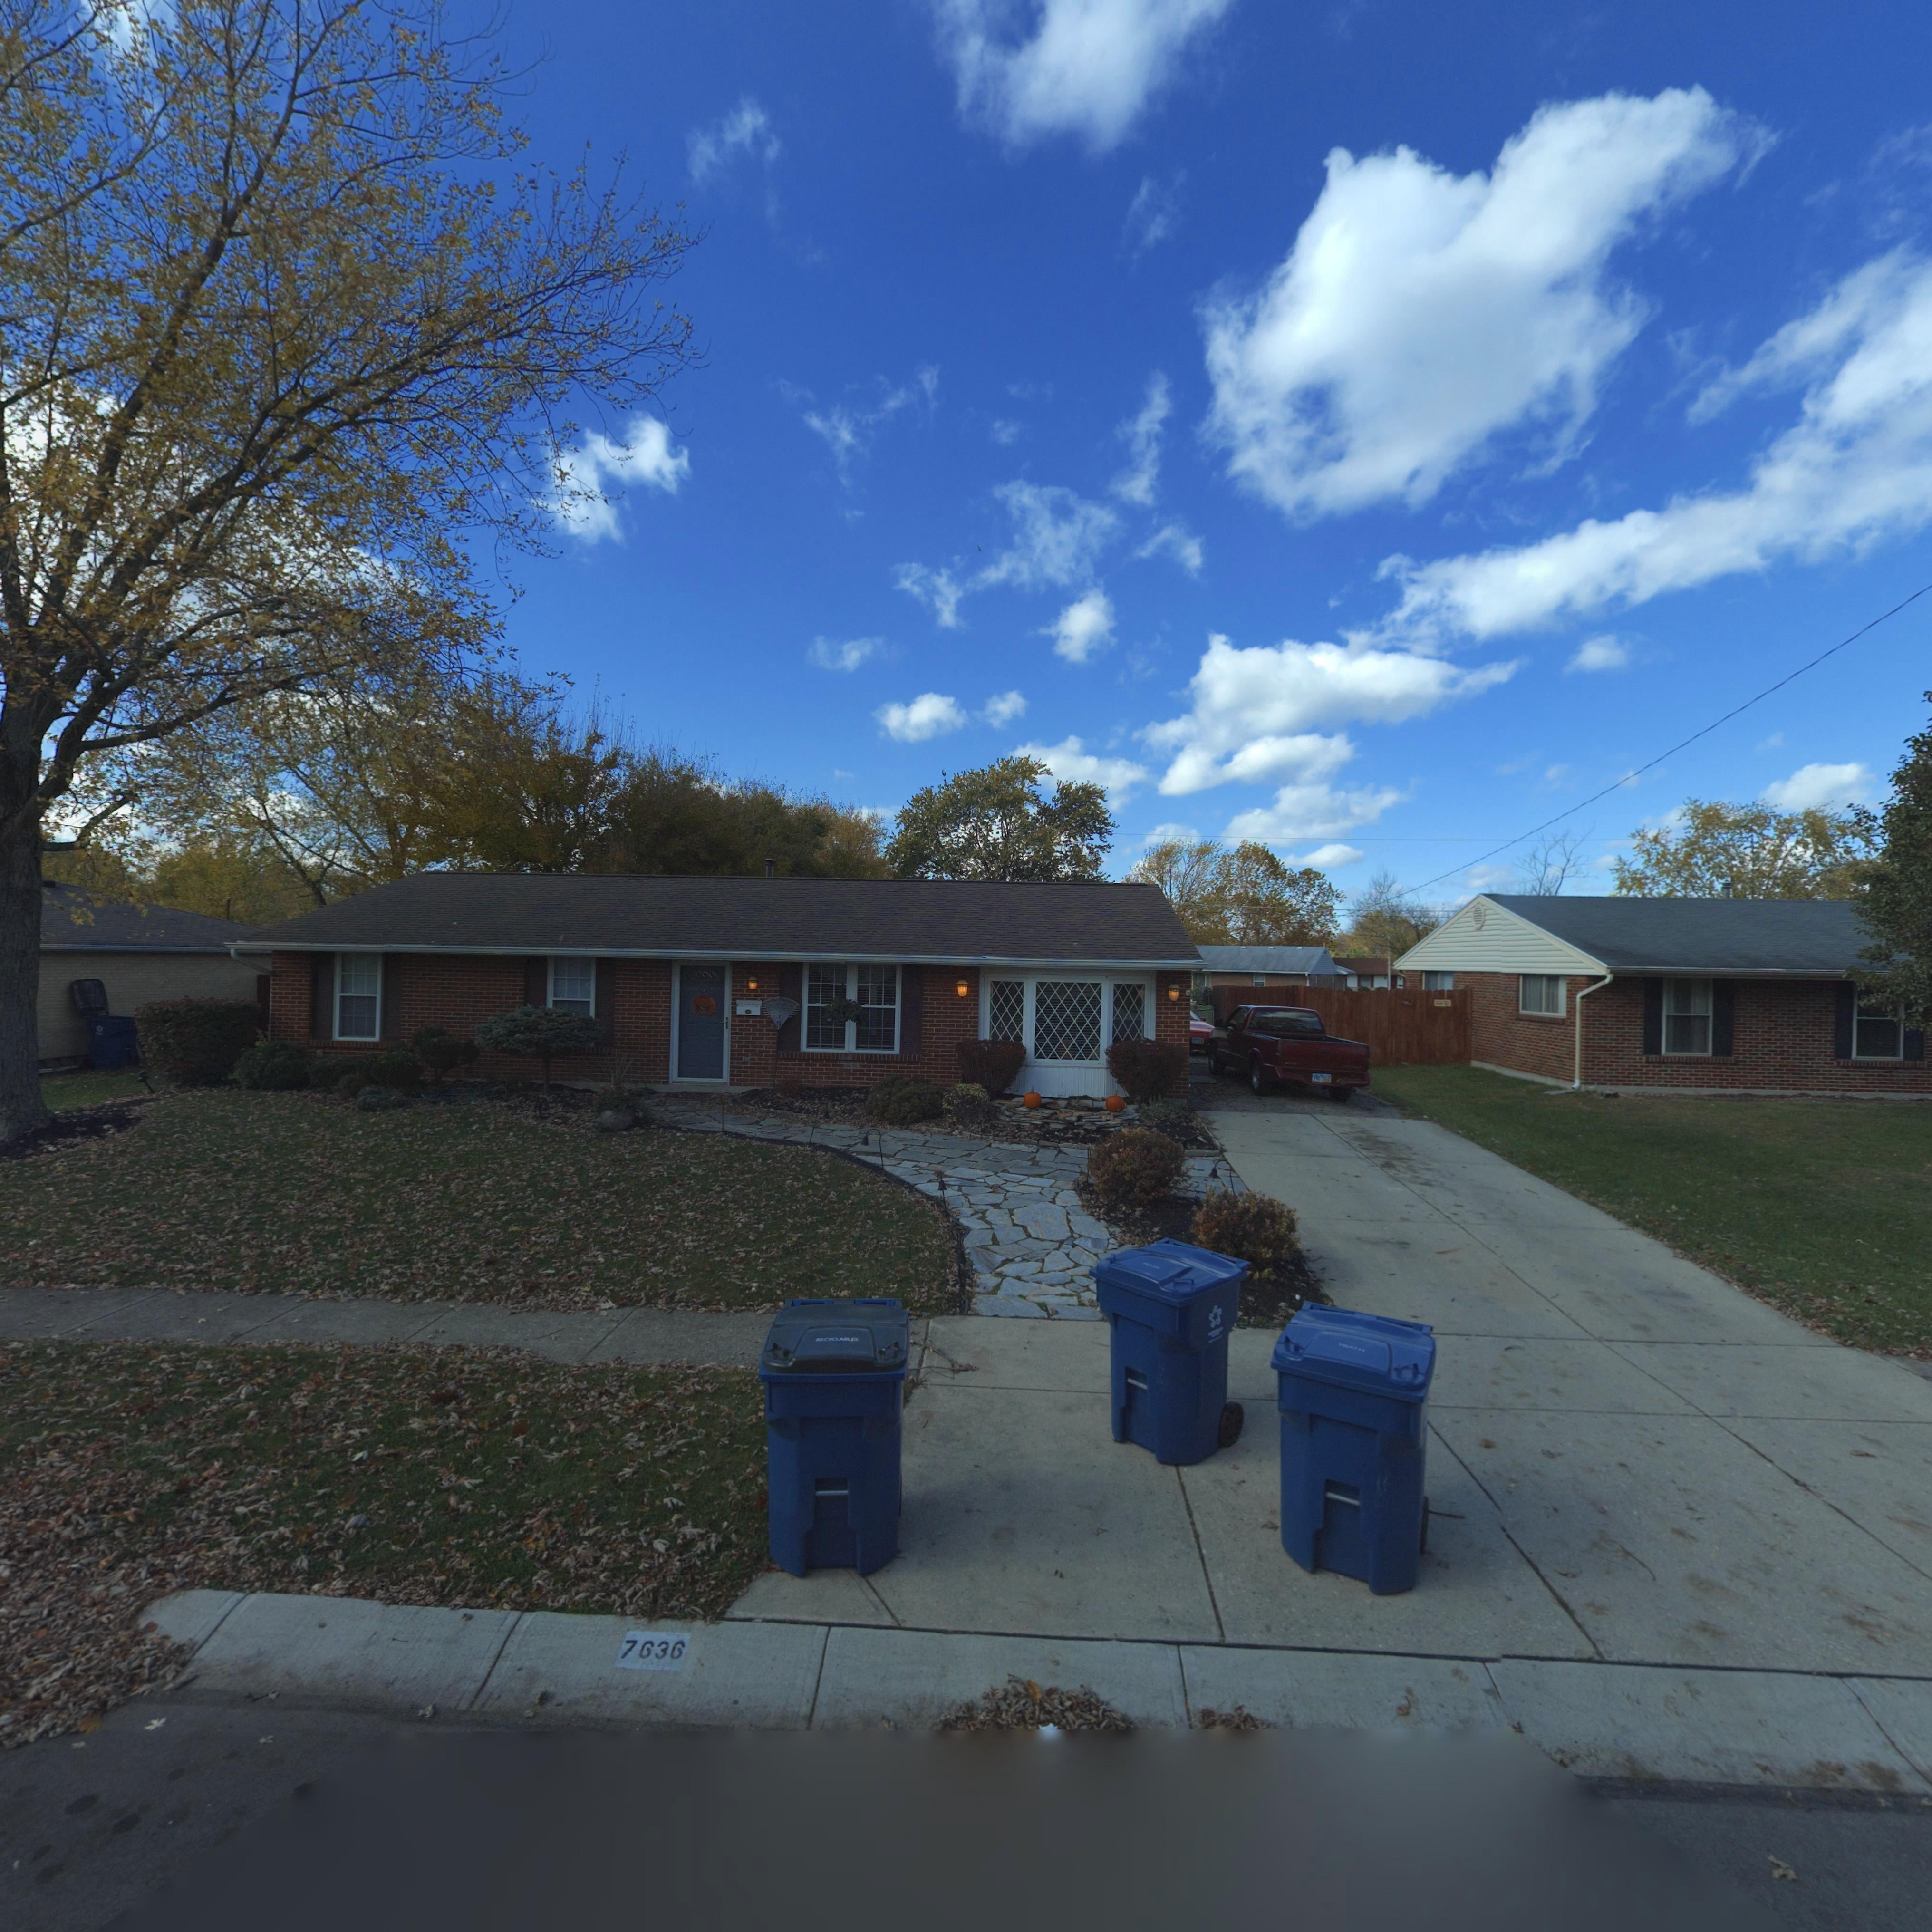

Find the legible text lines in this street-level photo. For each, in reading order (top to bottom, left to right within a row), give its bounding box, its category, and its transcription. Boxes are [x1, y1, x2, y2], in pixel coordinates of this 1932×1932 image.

[618, 1638, 686, 1661] StreetNumber: 7636